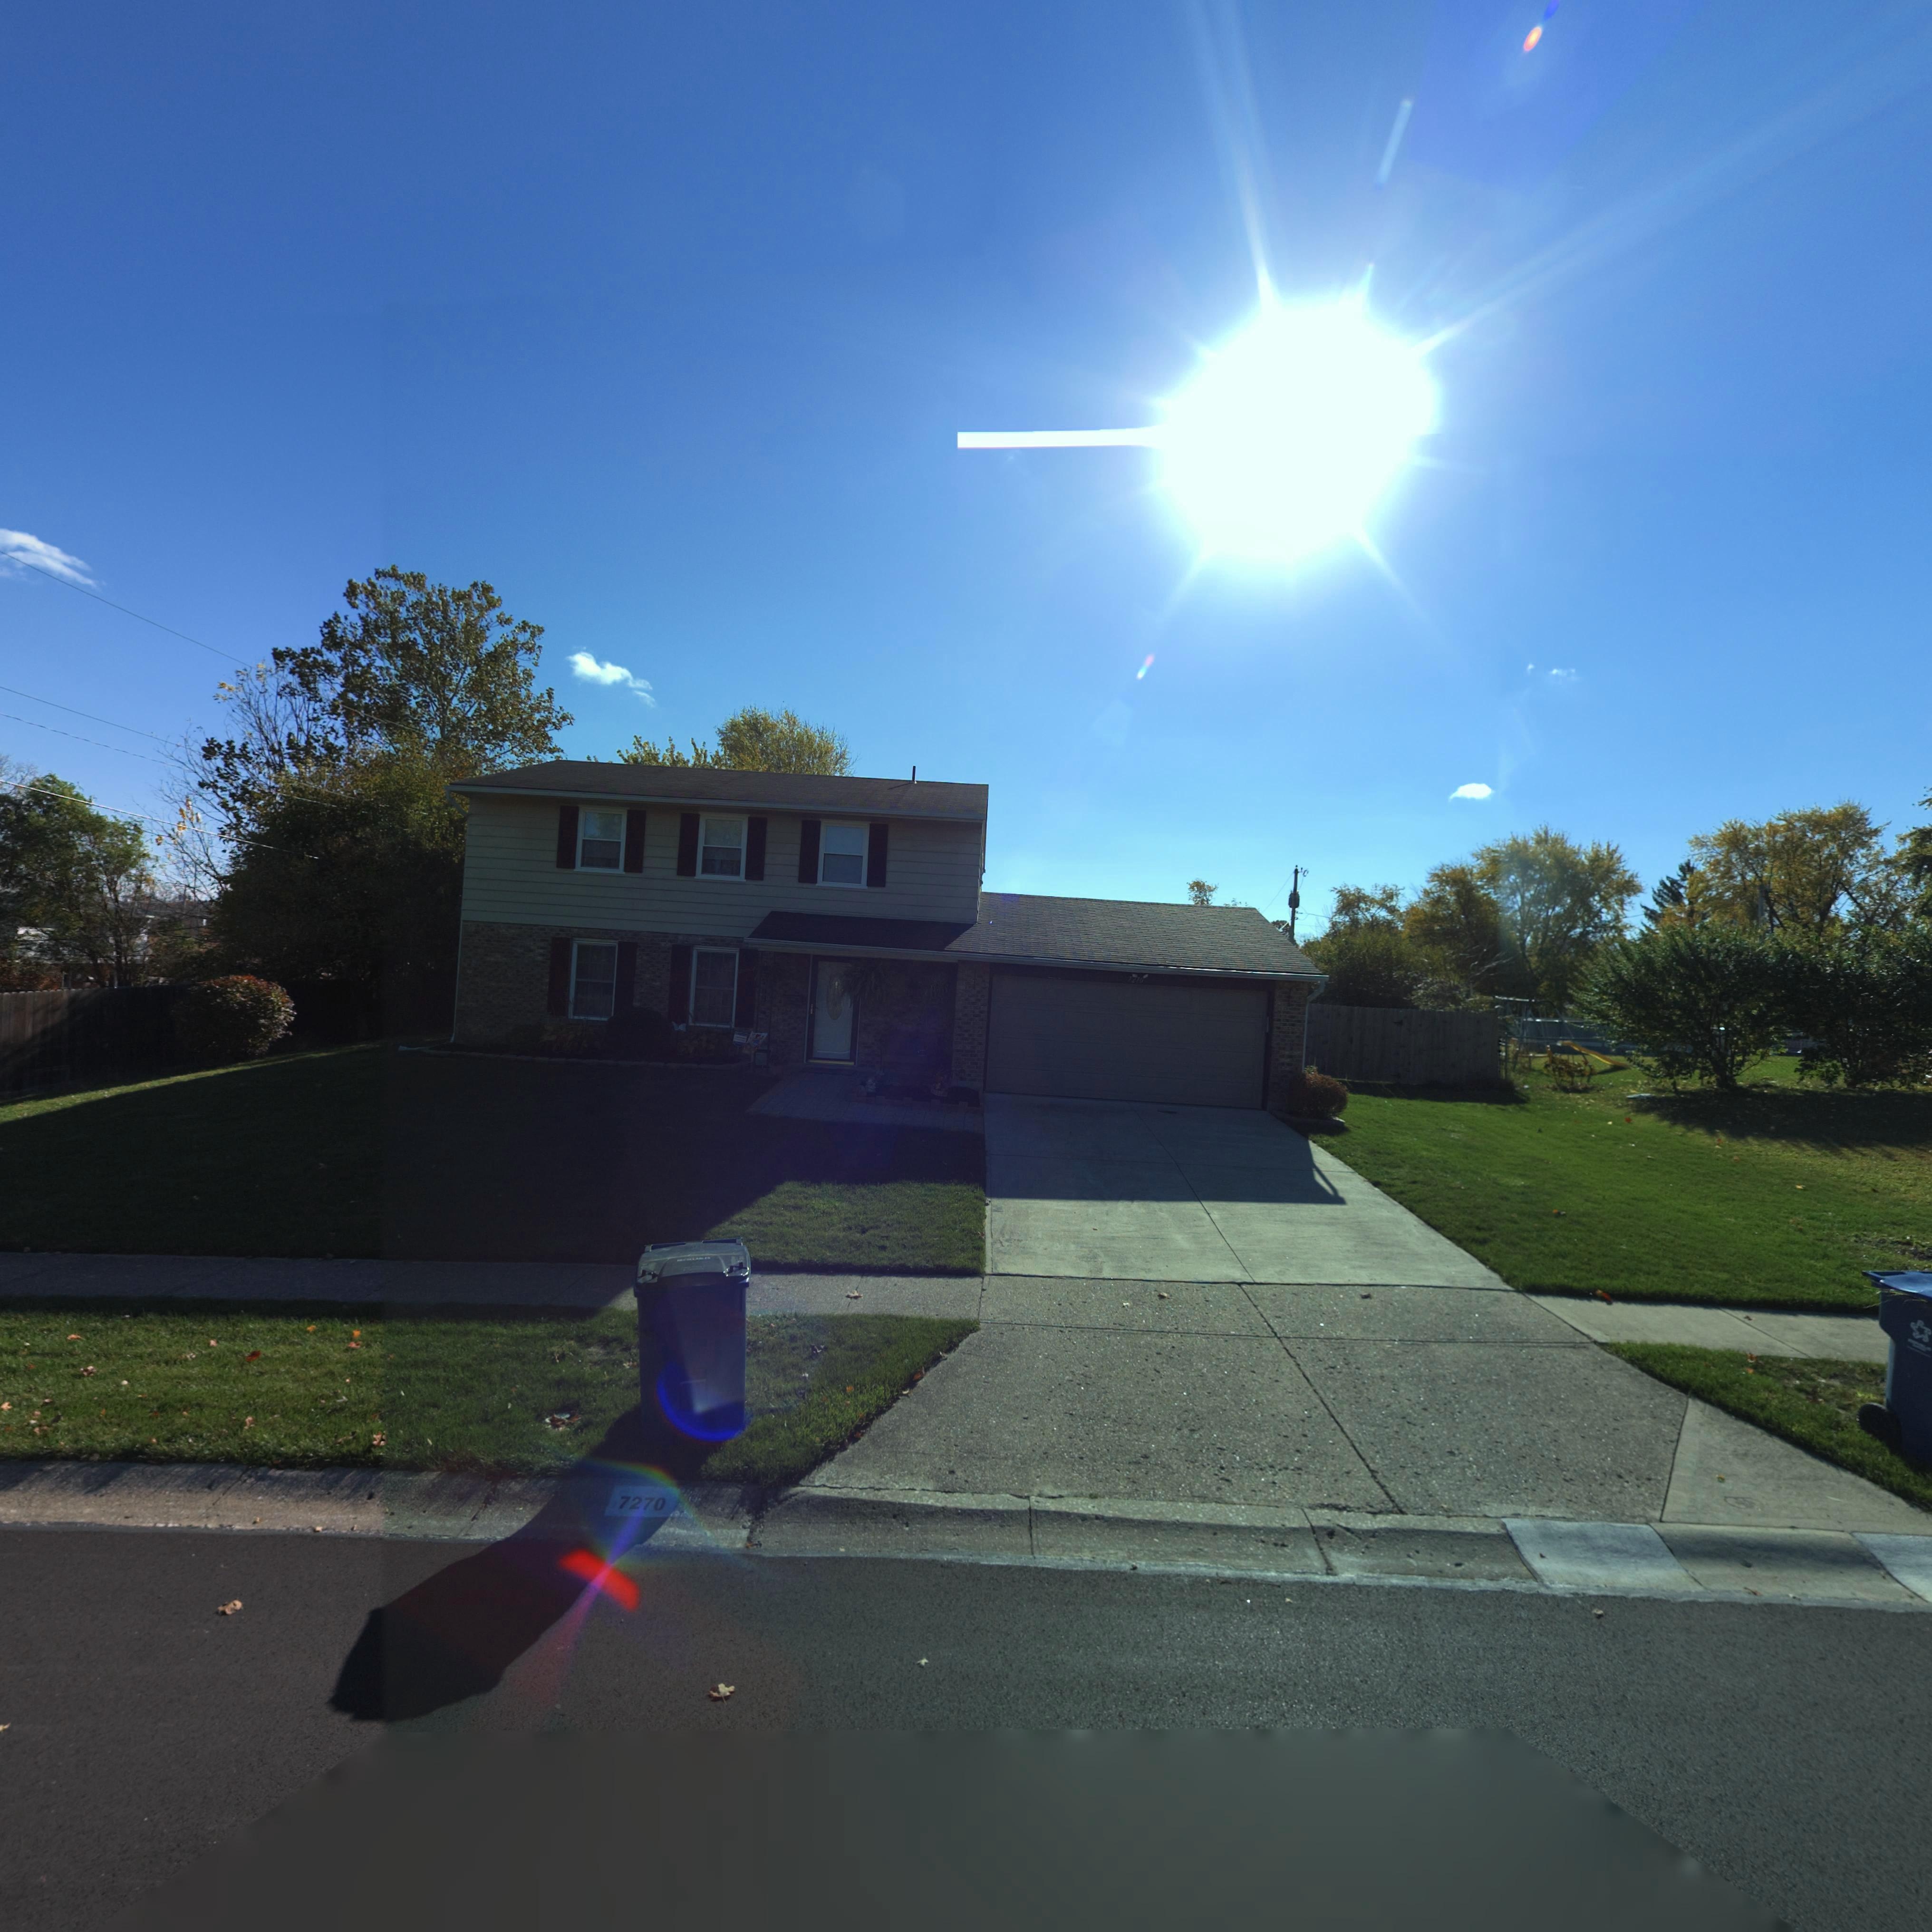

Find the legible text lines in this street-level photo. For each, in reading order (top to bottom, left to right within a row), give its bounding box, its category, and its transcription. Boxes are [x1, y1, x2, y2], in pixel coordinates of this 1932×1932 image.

[1127, 976, 1146, 985] StreetNumber: 7***
[617, 1493, 667, 1514] StreetNumber: 7270